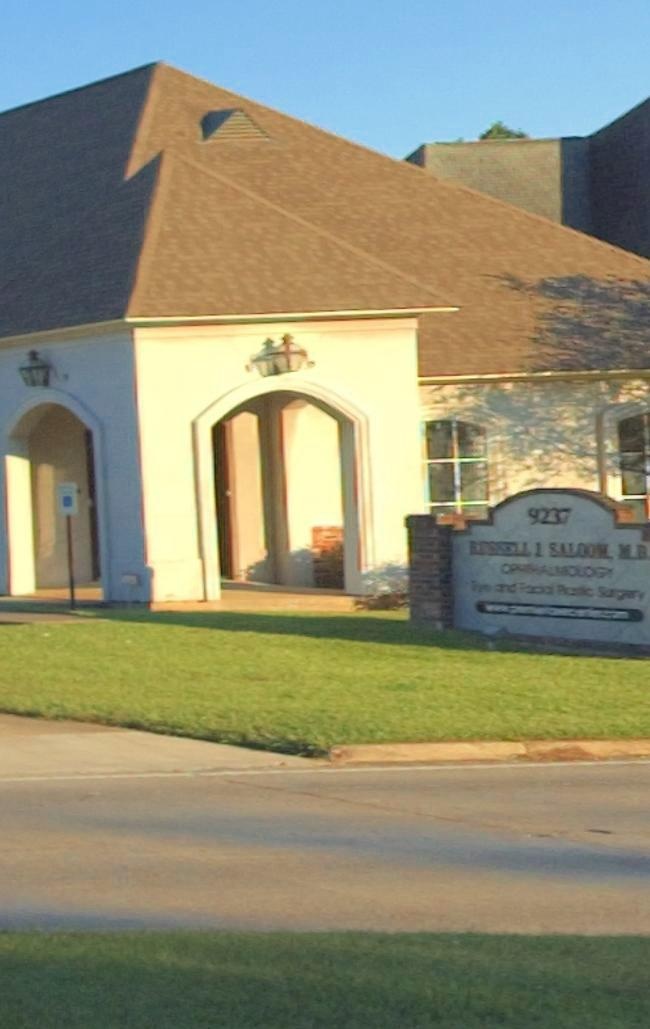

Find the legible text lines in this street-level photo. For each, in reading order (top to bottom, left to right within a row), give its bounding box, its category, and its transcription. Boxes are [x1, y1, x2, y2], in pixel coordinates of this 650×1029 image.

[526, 506, 573, 527] StreetNumber: 9237
[467, 539, 650, 561] None: RUSSELL J. SALLOON, M.B.